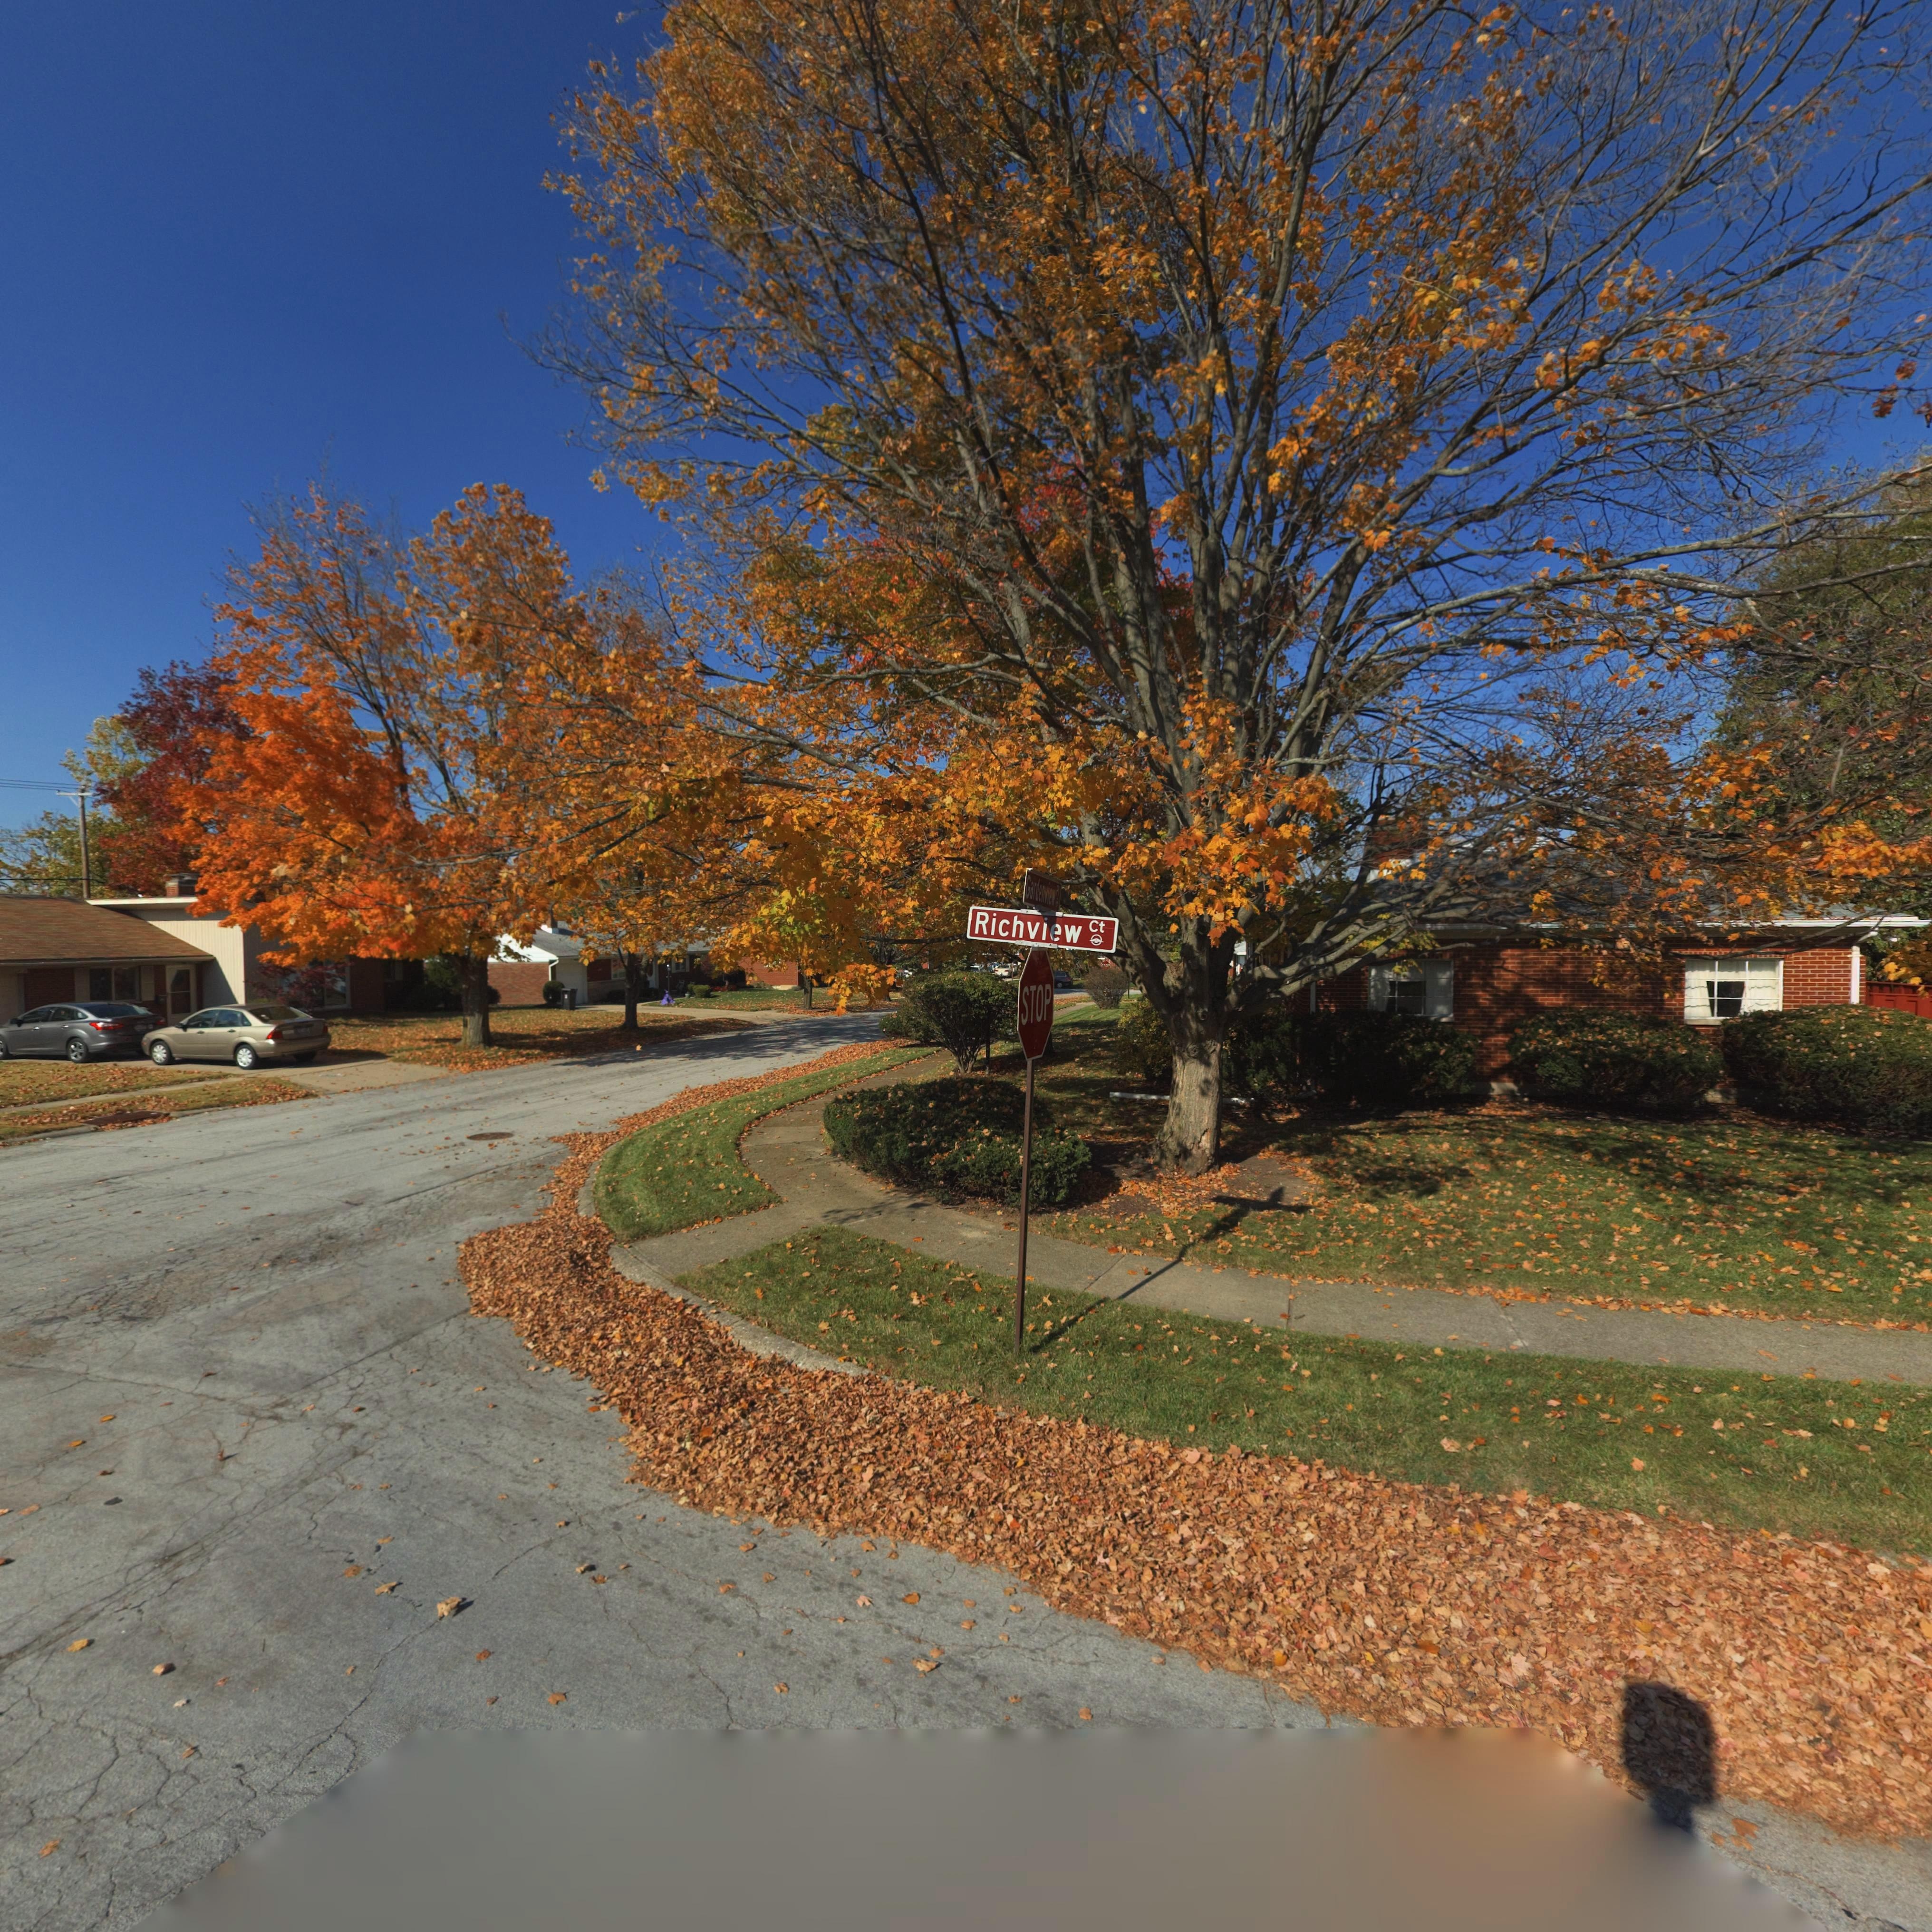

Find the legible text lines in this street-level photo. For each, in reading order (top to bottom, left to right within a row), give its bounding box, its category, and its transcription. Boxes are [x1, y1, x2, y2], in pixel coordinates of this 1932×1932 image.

[1025, 873, 1062, 906] StreetName: Gardenview Pl
[974, 910, 1106, 944] StreetName: Richview Ct
[1101, 964, 1110, 968] None: STOP
[1019, 983, 1053, 1027] None: STOP